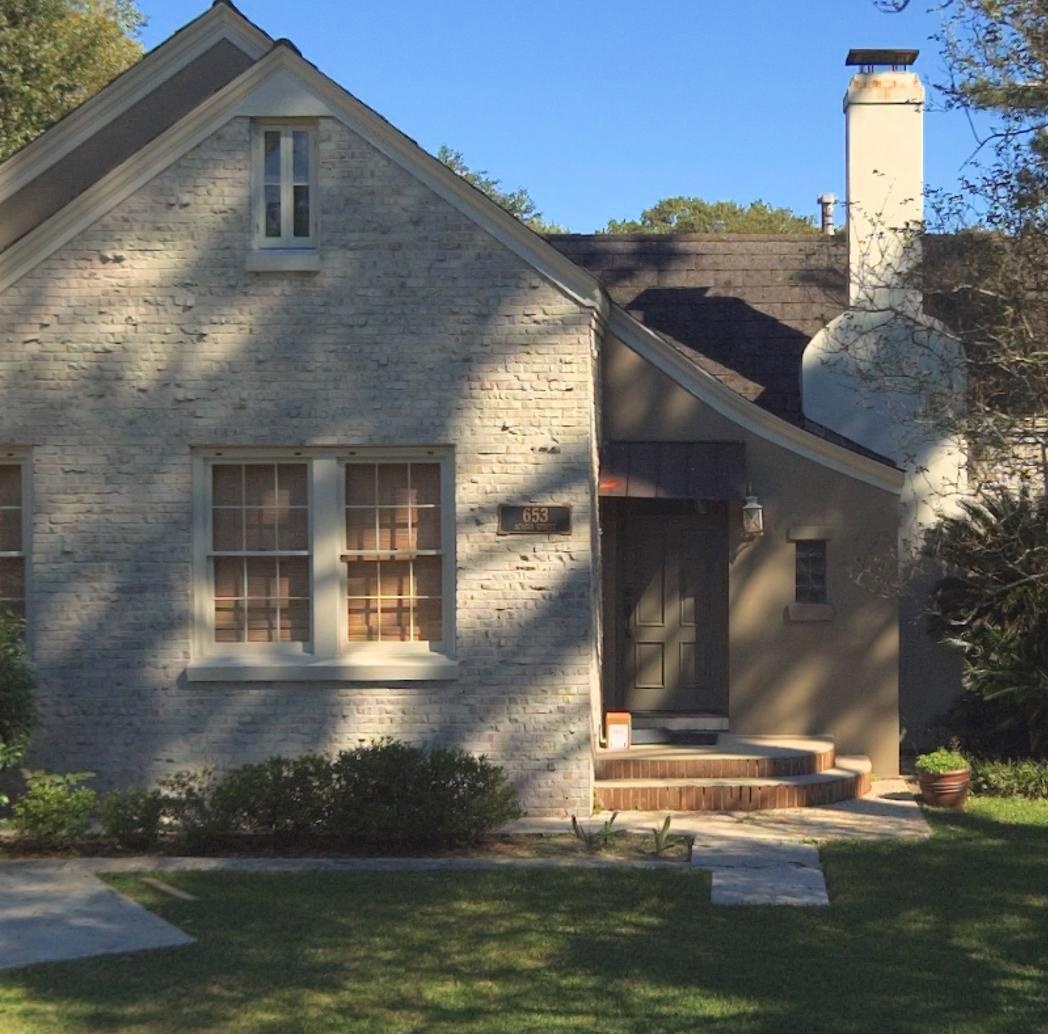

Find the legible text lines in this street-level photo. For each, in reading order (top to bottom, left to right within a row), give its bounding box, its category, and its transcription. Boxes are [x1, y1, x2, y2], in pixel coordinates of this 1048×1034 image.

[522, 506, 549, 524] StreetNumber: 653